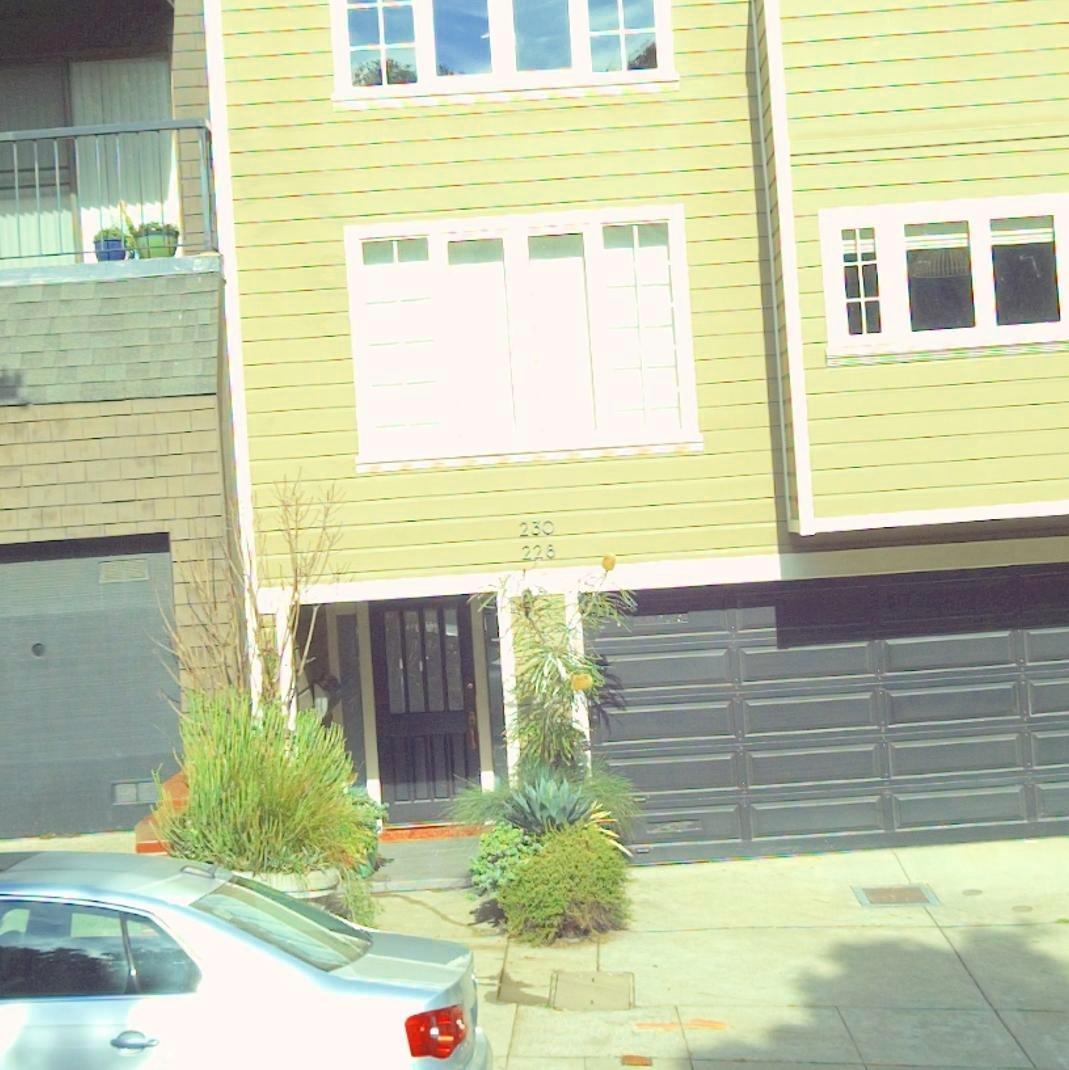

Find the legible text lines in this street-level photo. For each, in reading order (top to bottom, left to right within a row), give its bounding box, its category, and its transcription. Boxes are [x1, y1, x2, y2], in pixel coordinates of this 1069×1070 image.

[518, 519, 556, 538] StreetNumber: 230
[519, 542, 557, 561] StreetNumber: 228